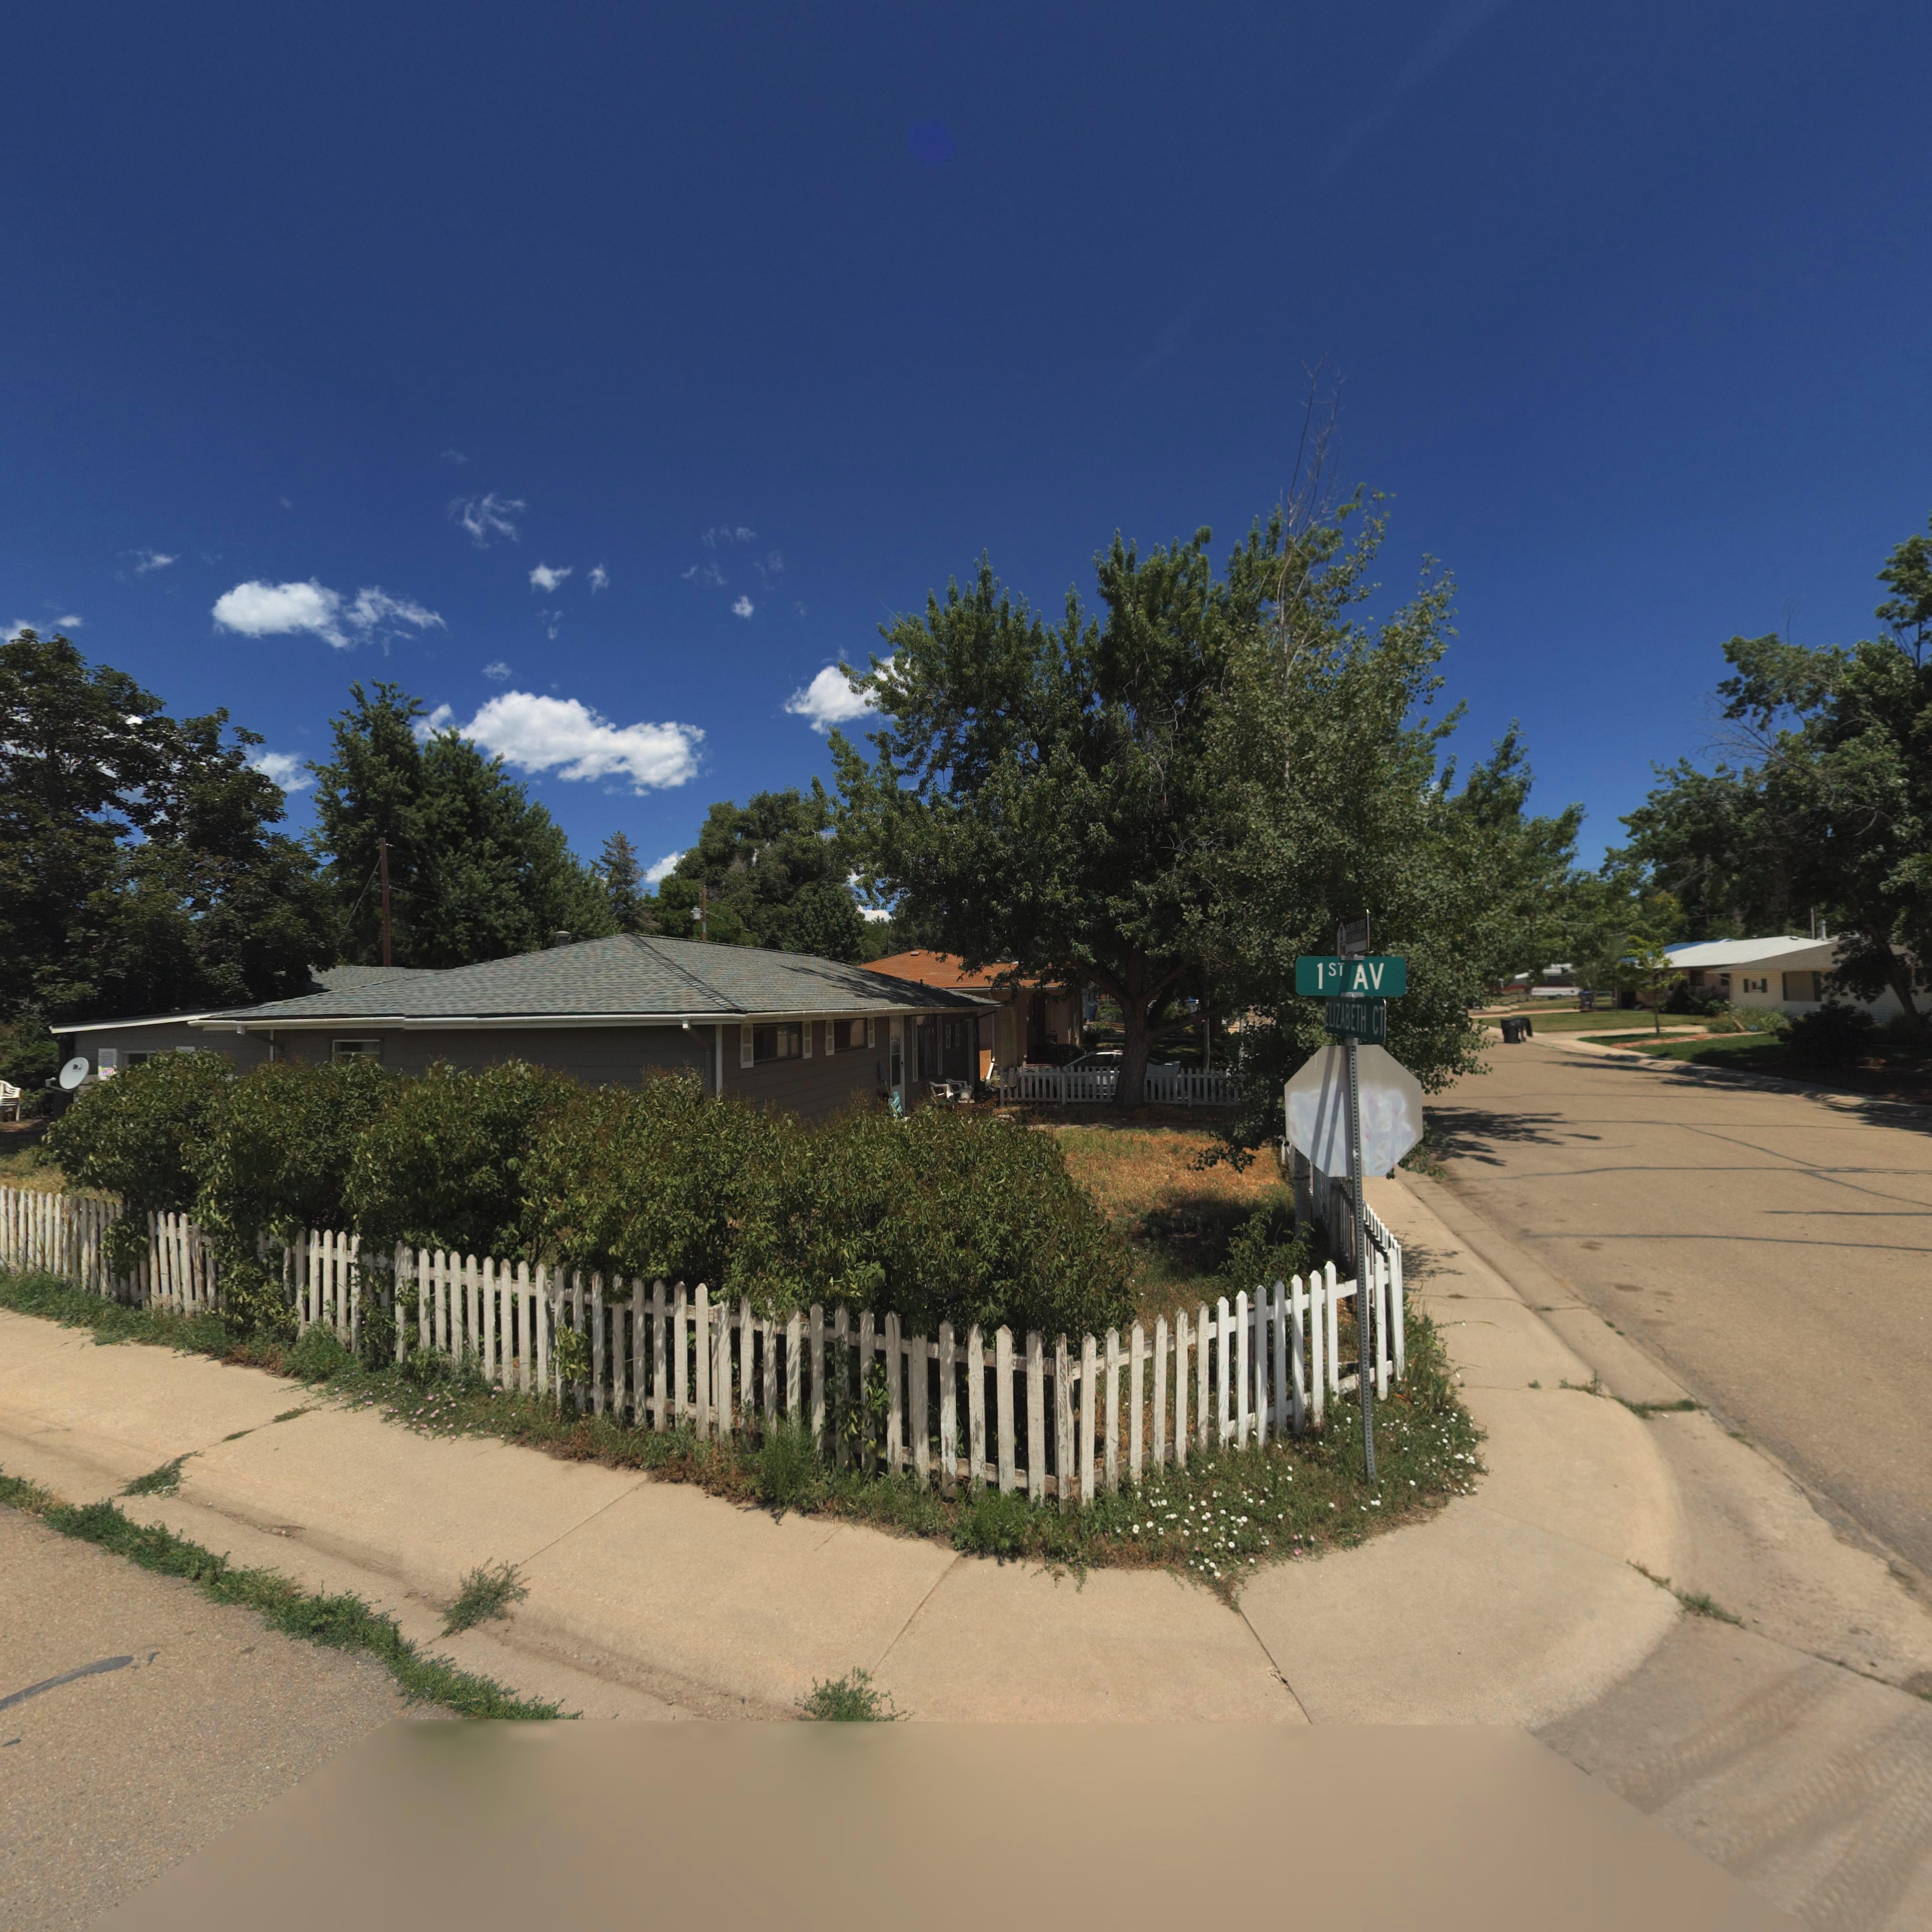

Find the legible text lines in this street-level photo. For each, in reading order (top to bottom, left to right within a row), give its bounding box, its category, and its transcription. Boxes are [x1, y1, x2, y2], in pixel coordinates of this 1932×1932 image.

[1316, 961, 1386, 991] StreetName: 1ST AV
[1324, 1002, 1385, 1037] StreetName: ELIZABETH CT